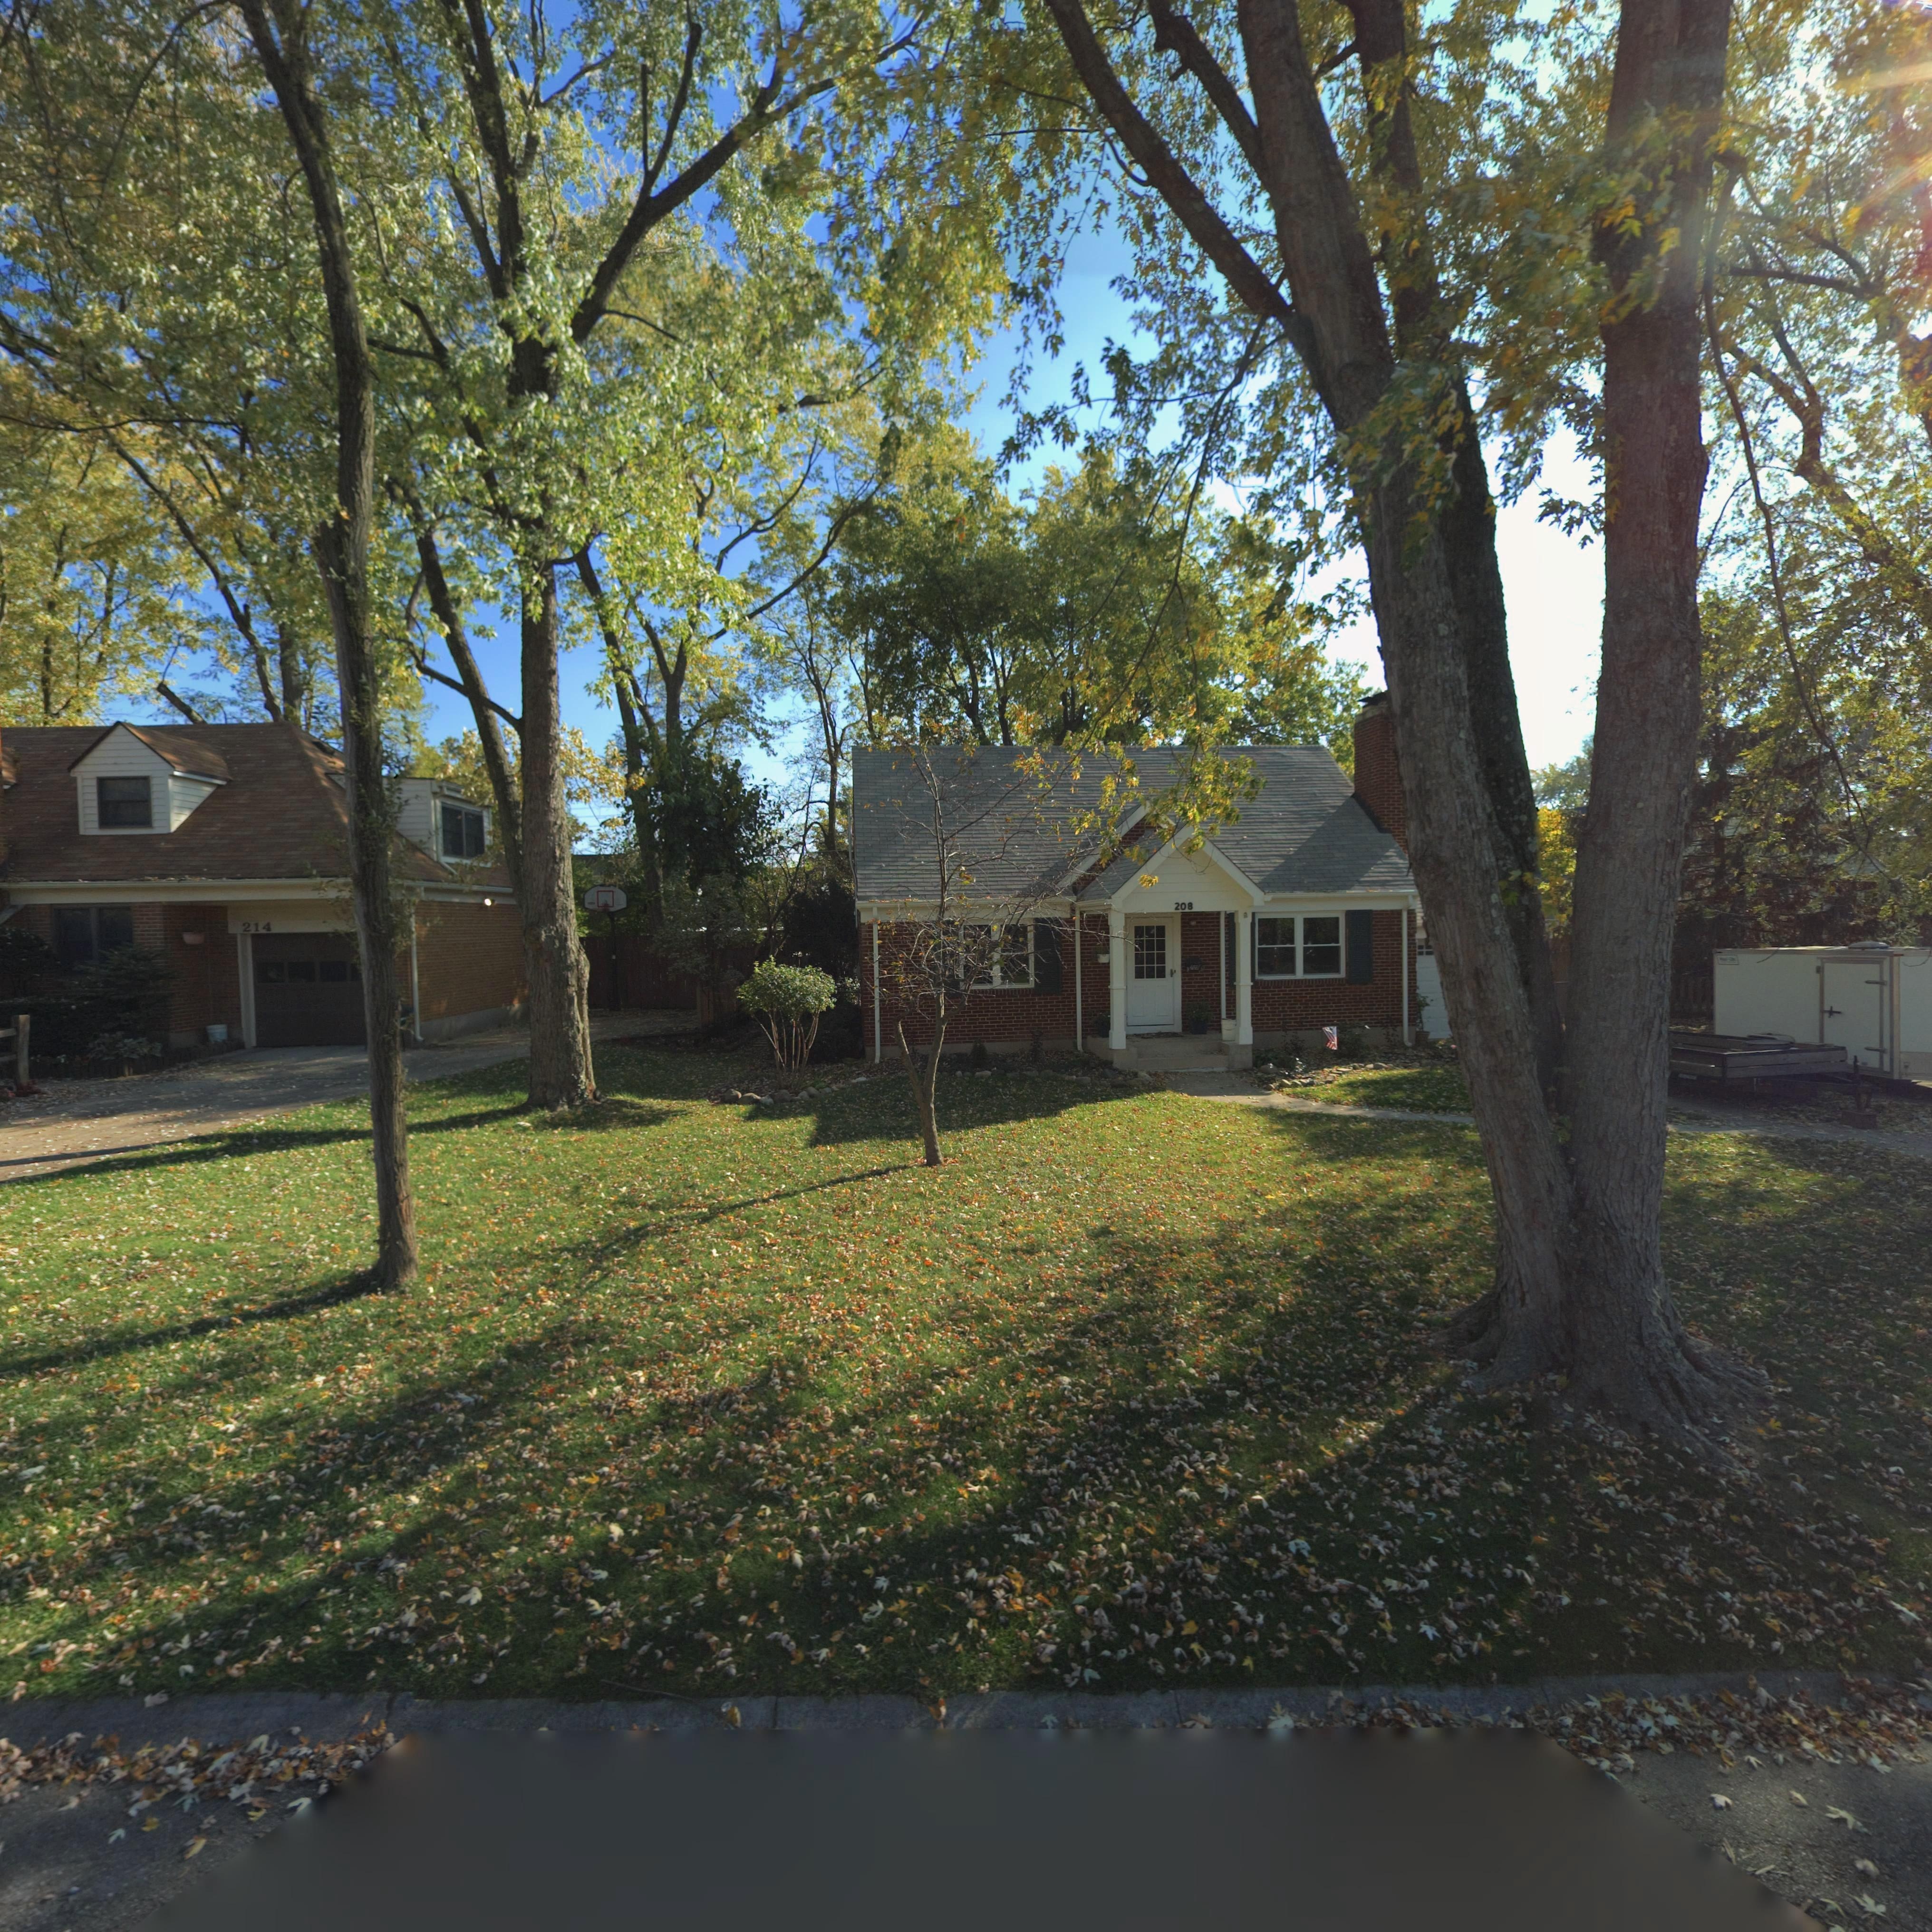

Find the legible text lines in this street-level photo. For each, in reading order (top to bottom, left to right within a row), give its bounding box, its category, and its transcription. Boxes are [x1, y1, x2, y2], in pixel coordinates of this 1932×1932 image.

[1174, 901, 1194, 911] StreetNumber: 208
[242, 921, 272, 933] StreetNumber: 214